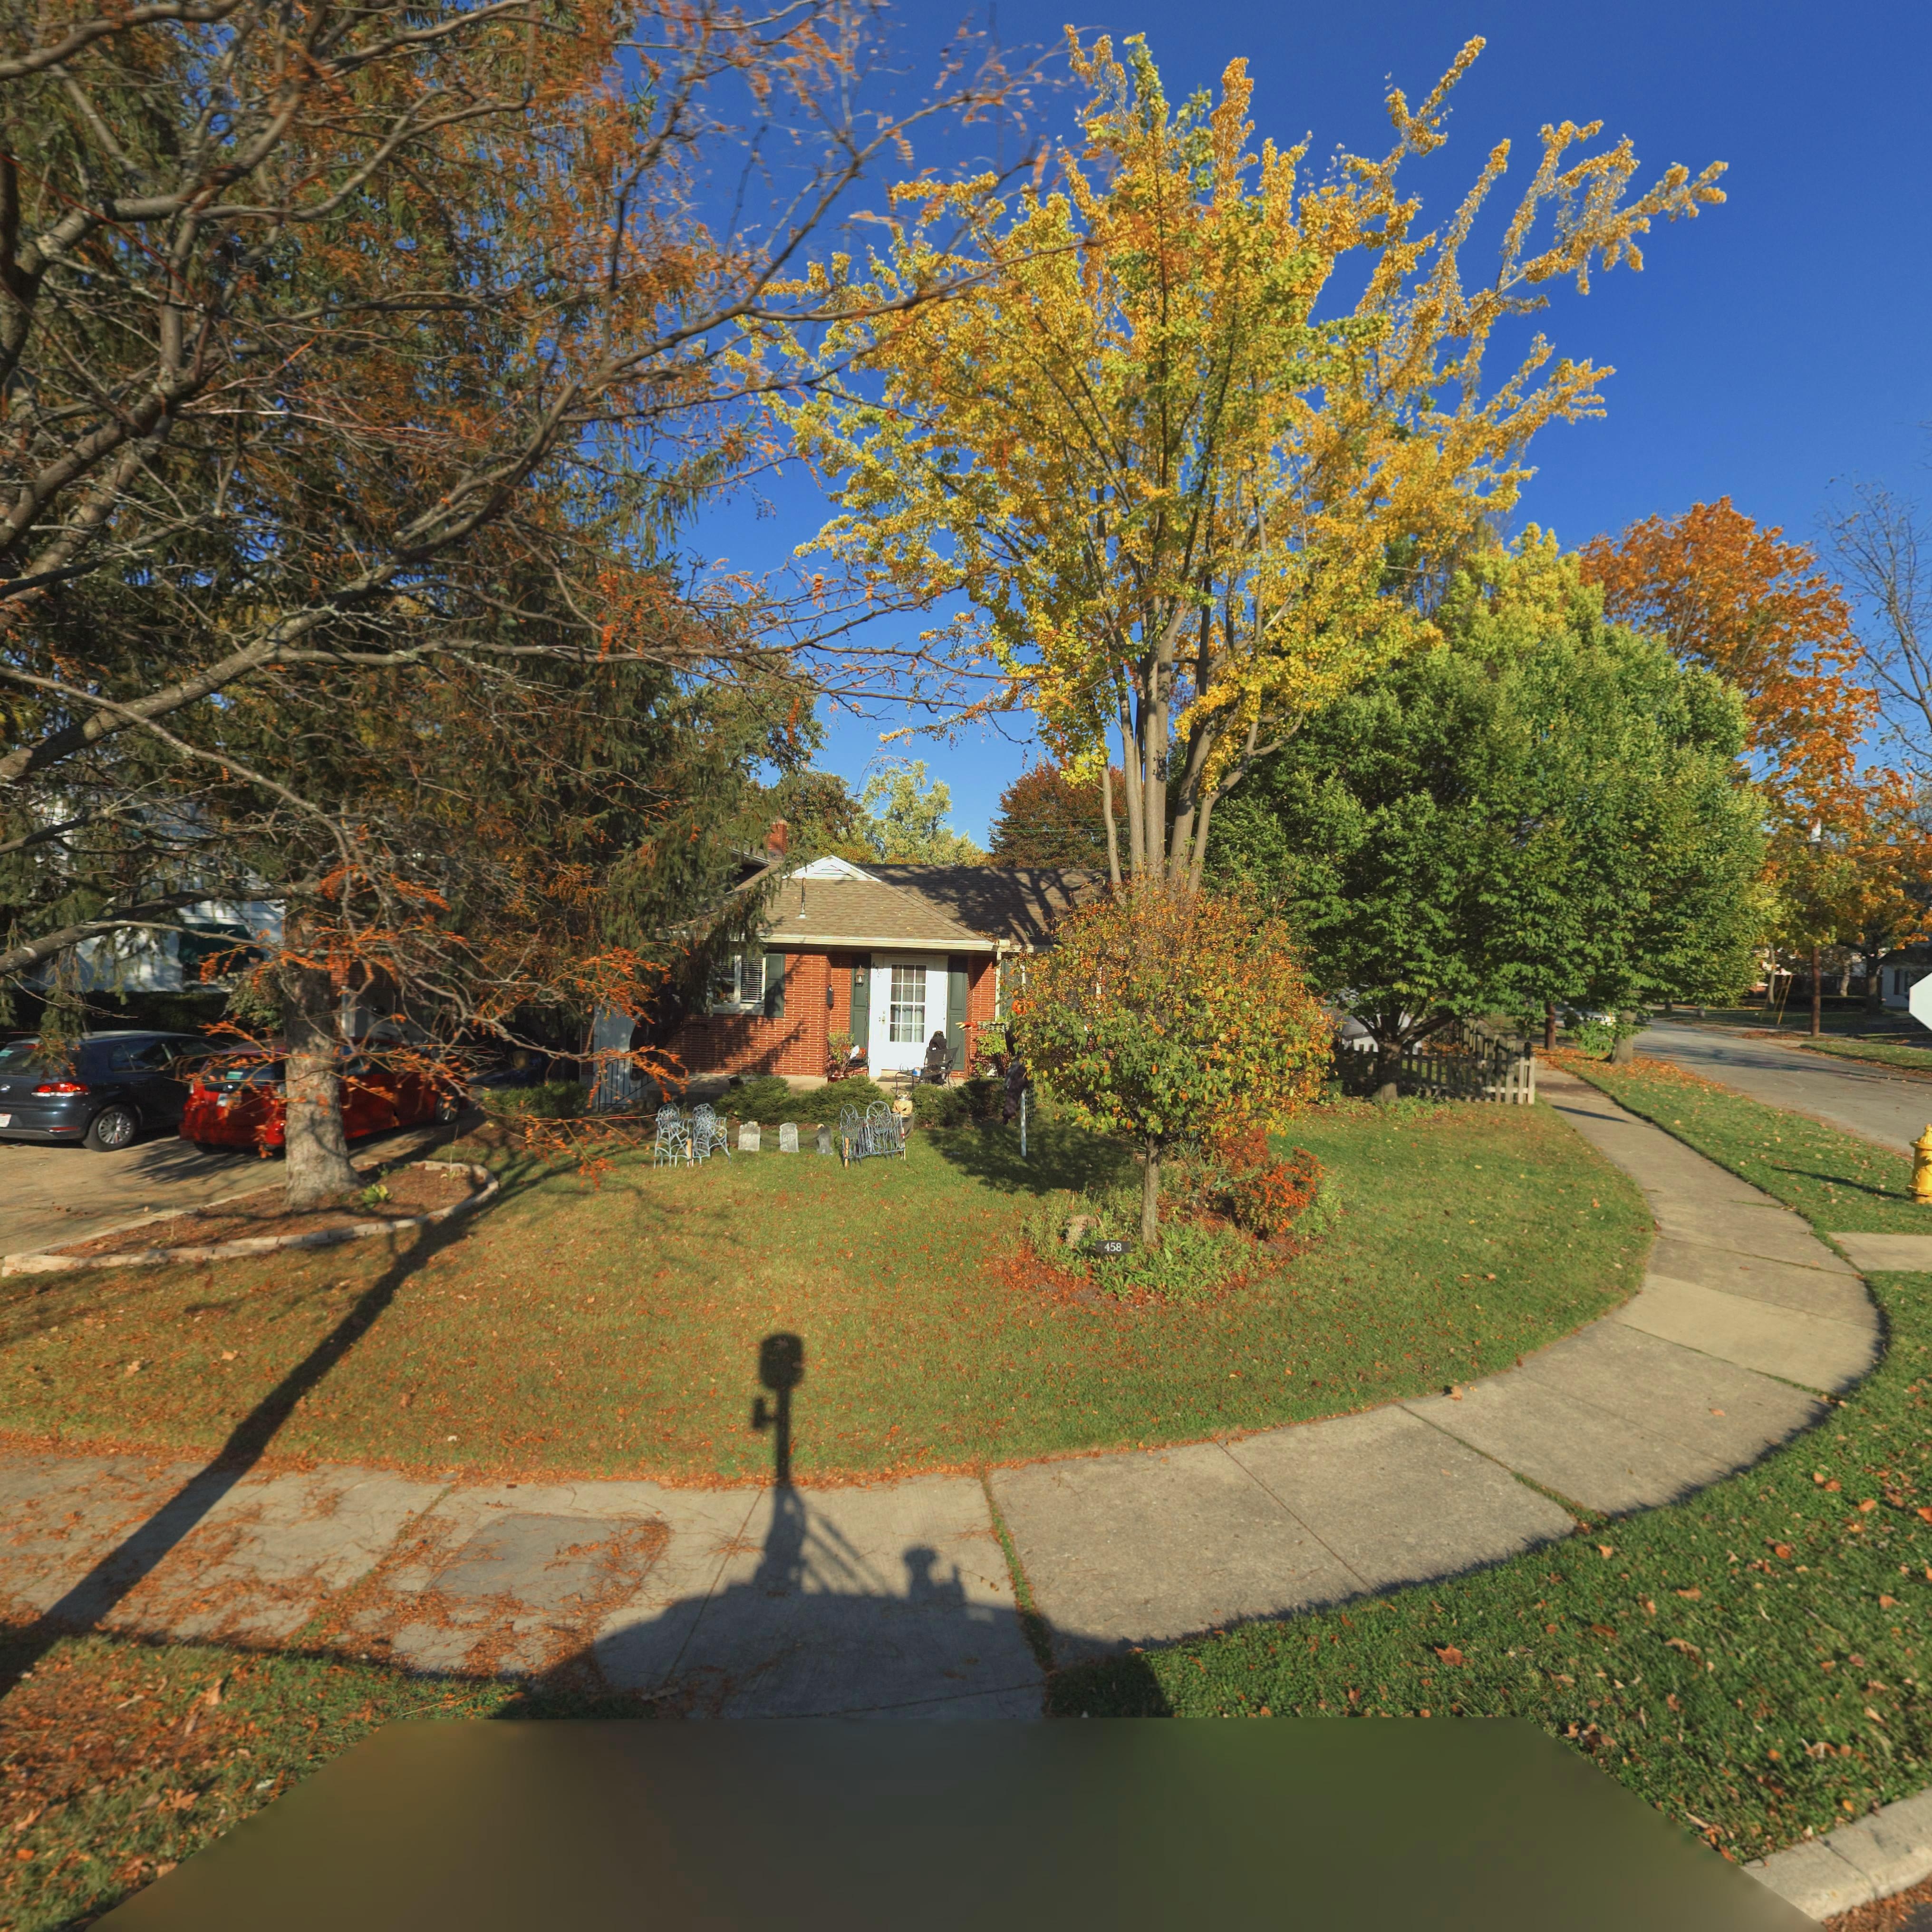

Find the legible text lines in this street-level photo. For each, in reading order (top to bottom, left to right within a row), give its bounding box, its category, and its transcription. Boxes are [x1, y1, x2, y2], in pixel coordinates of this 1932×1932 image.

[871, 961, 882, 978] StreetNumber: 458
[1103, 1242, 1122, 1252] StreetNumber: 458